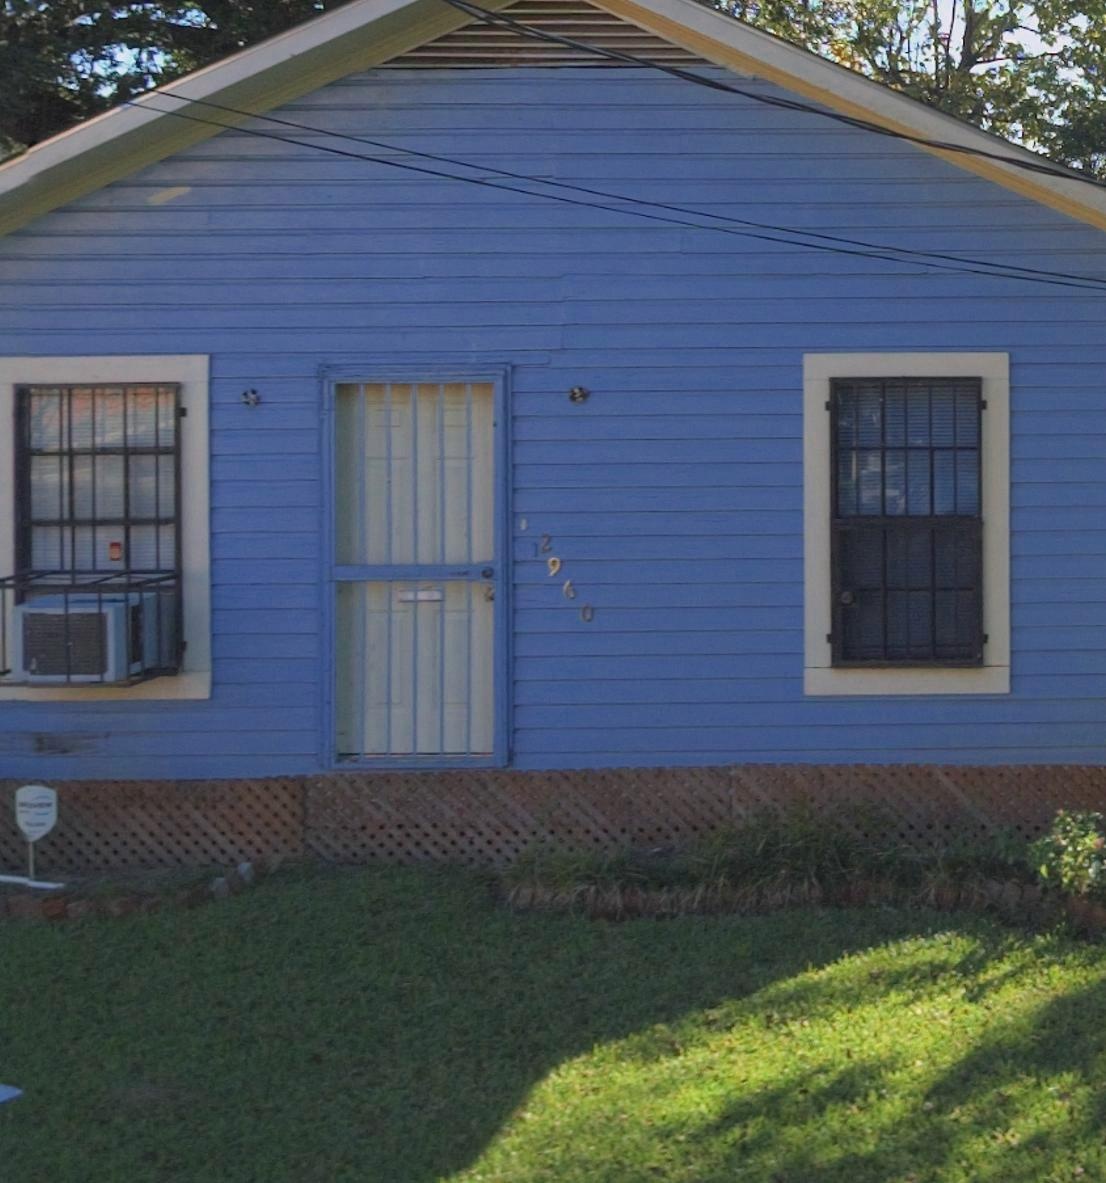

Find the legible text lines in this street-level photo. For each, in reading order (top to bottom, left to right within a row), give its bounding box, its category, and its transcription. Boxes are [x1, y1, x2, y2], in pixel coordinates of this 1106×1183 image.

[534, 531, 597, 625] StreetNumber: 2960